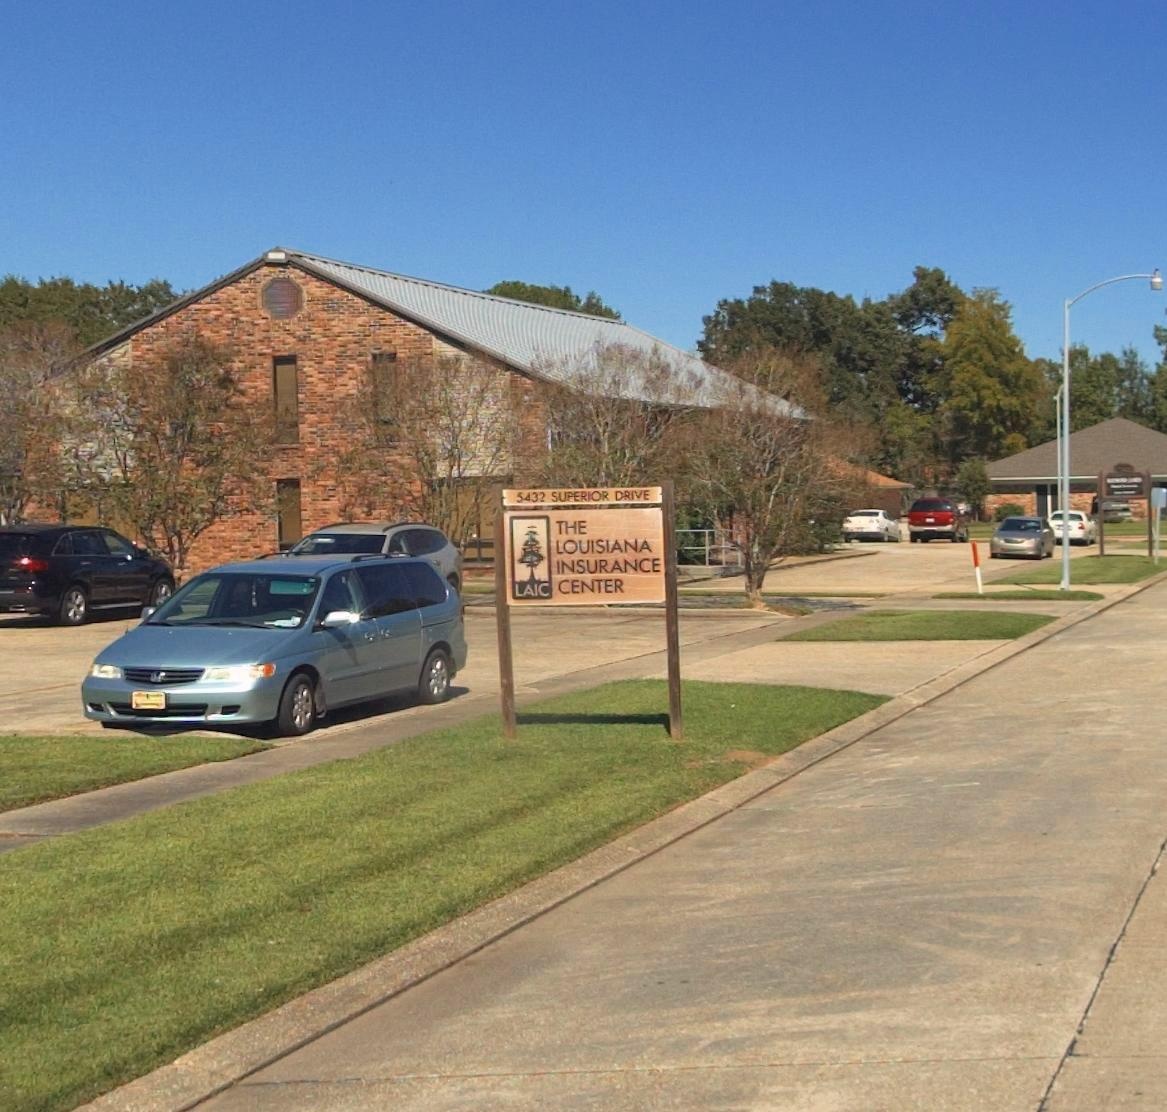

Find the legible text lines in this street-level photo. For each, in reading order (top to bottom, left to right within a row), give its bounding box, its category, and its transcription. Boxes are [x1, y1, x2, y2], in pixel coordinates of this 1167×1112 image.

[514, 489, 549, 506] StreetNumber: 5432
[549, 488, 652, 504] StreetName: SUPERIOR DRIVE
[553, 518, 590, 536] BusinessName: THE
[554, 536, 657, 557] BusinessName: LOUISIANA
[554, 555, 665, 577] BusinessName: INSURANCE
[513, 581, 552, 598] None: LAIC
[556, 575, 628, 596] BusinessName: CENTER